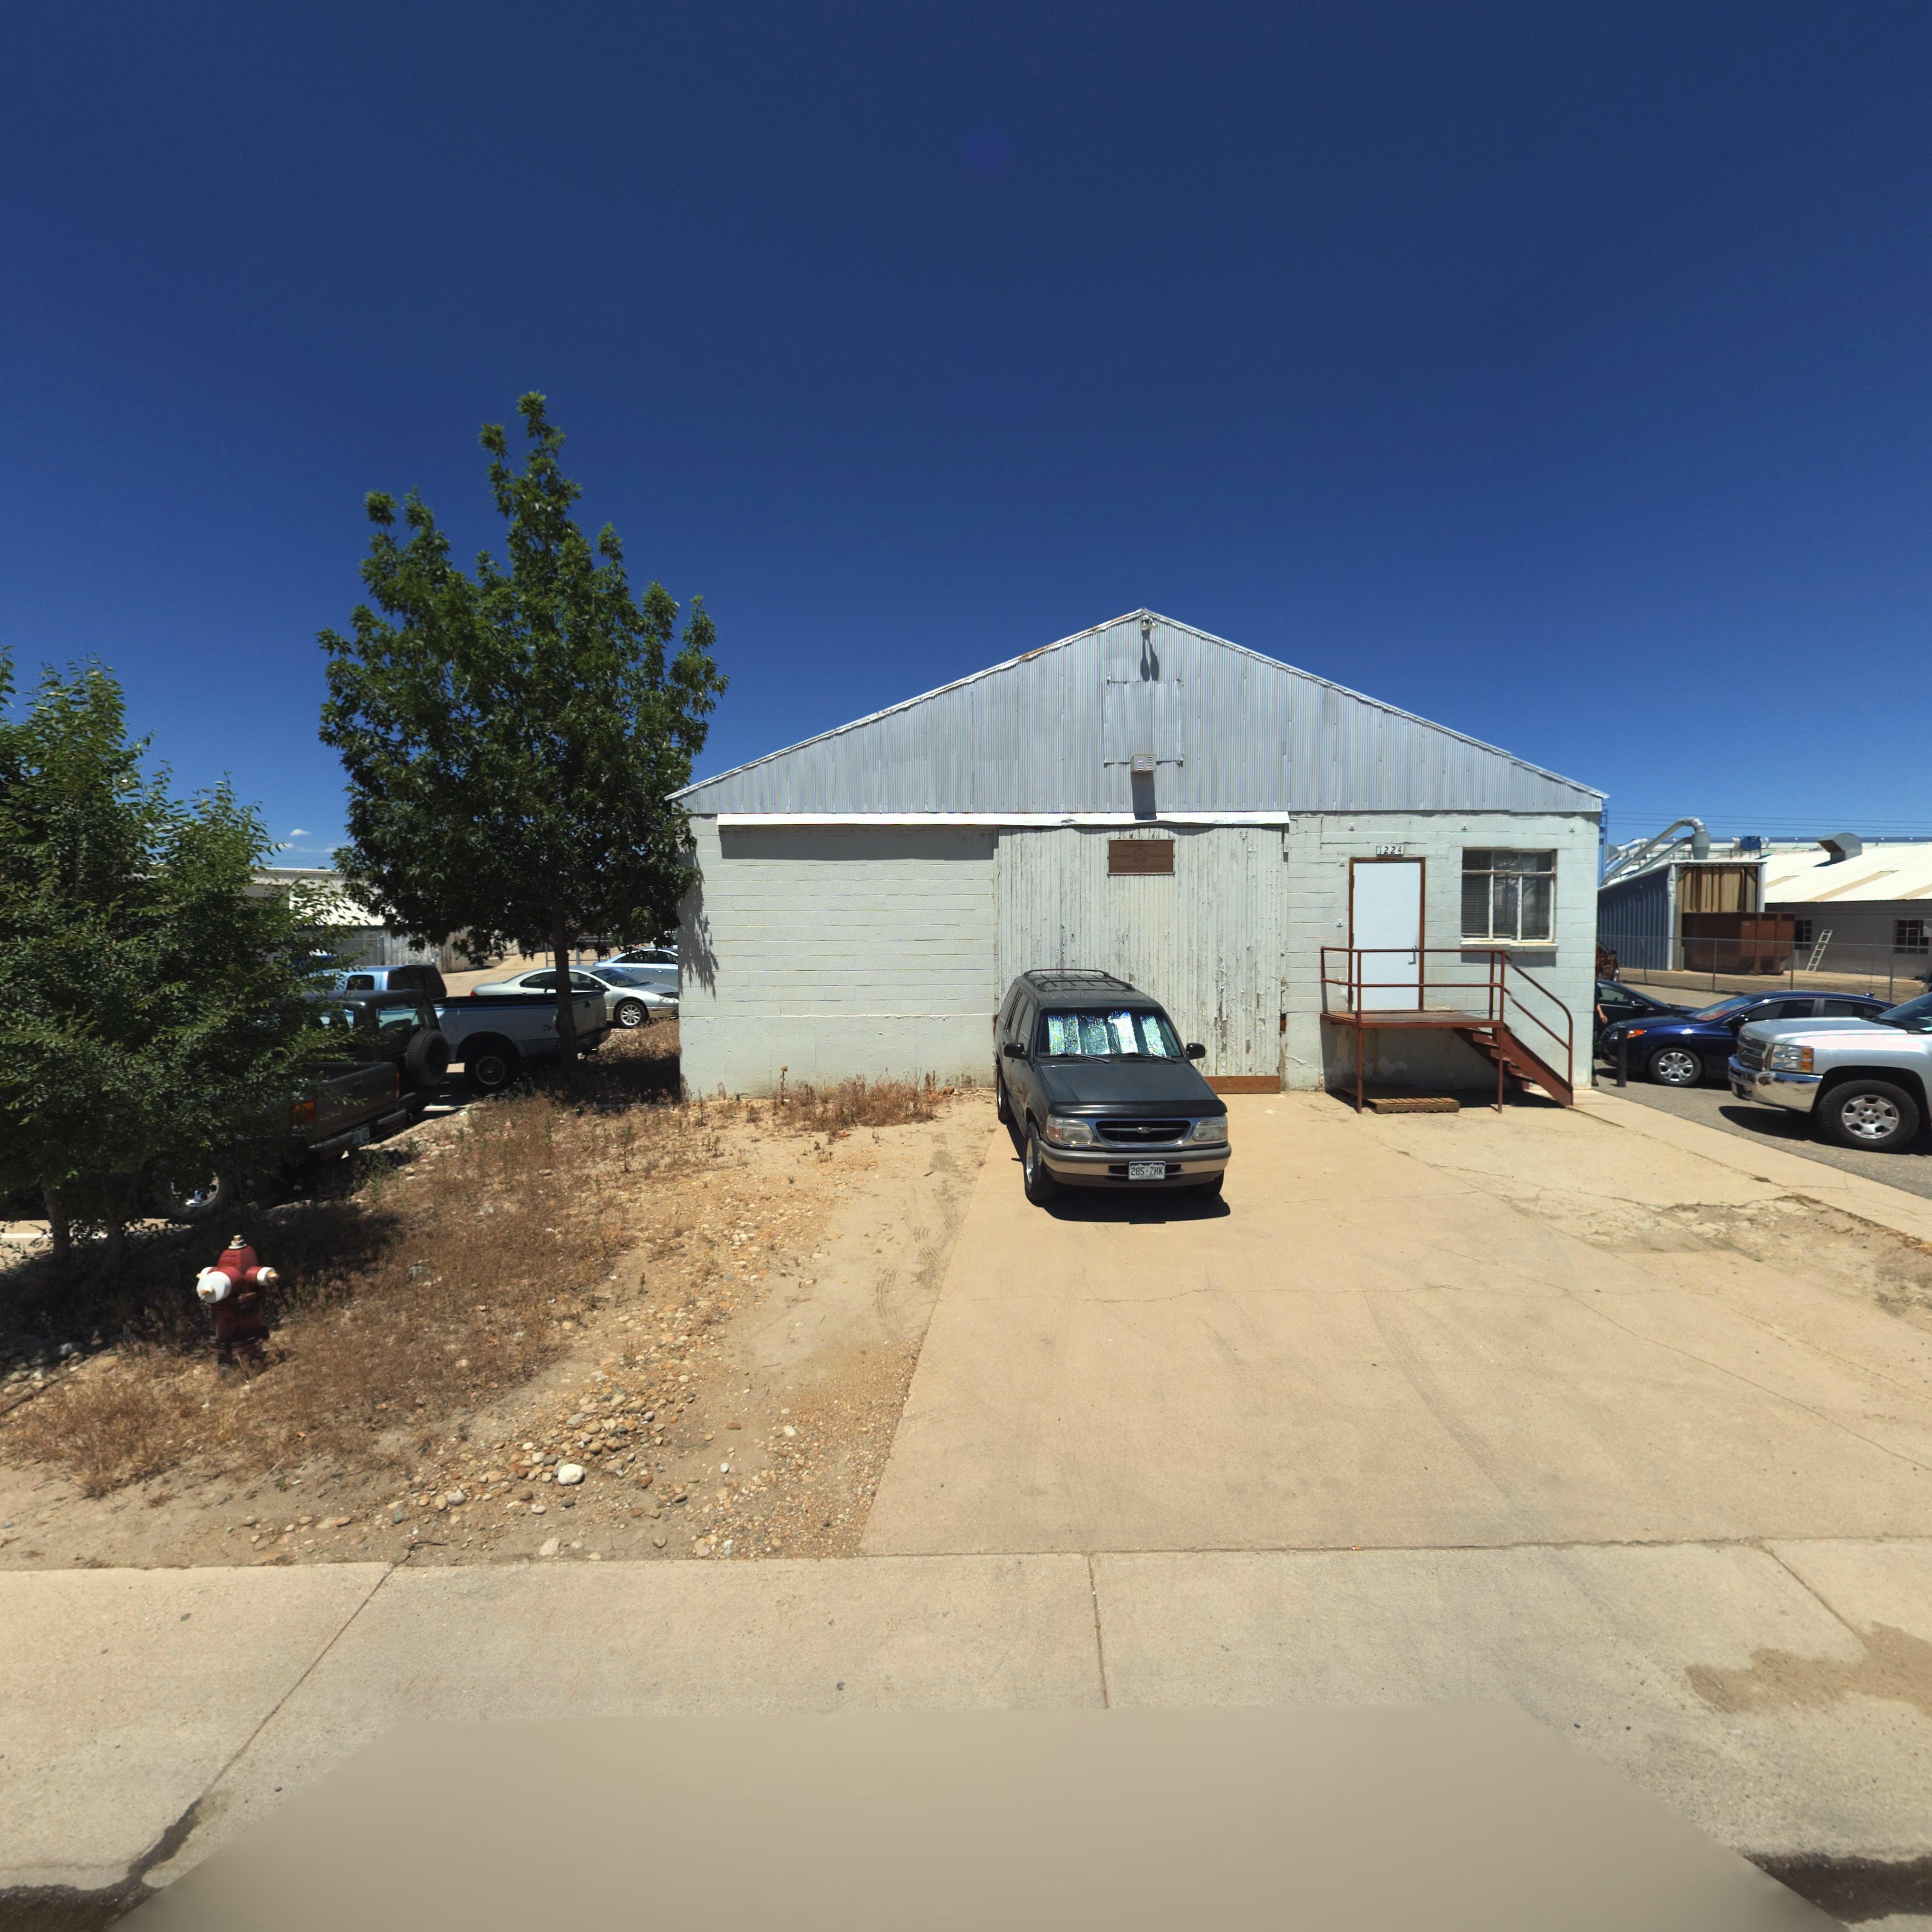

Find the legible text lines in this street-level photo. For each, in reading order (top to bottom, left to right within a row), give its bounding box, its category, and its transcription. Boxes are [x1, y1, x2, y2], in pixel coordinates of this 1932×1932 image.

[1379, 846, 1402, 854] StreetNumber: 1224